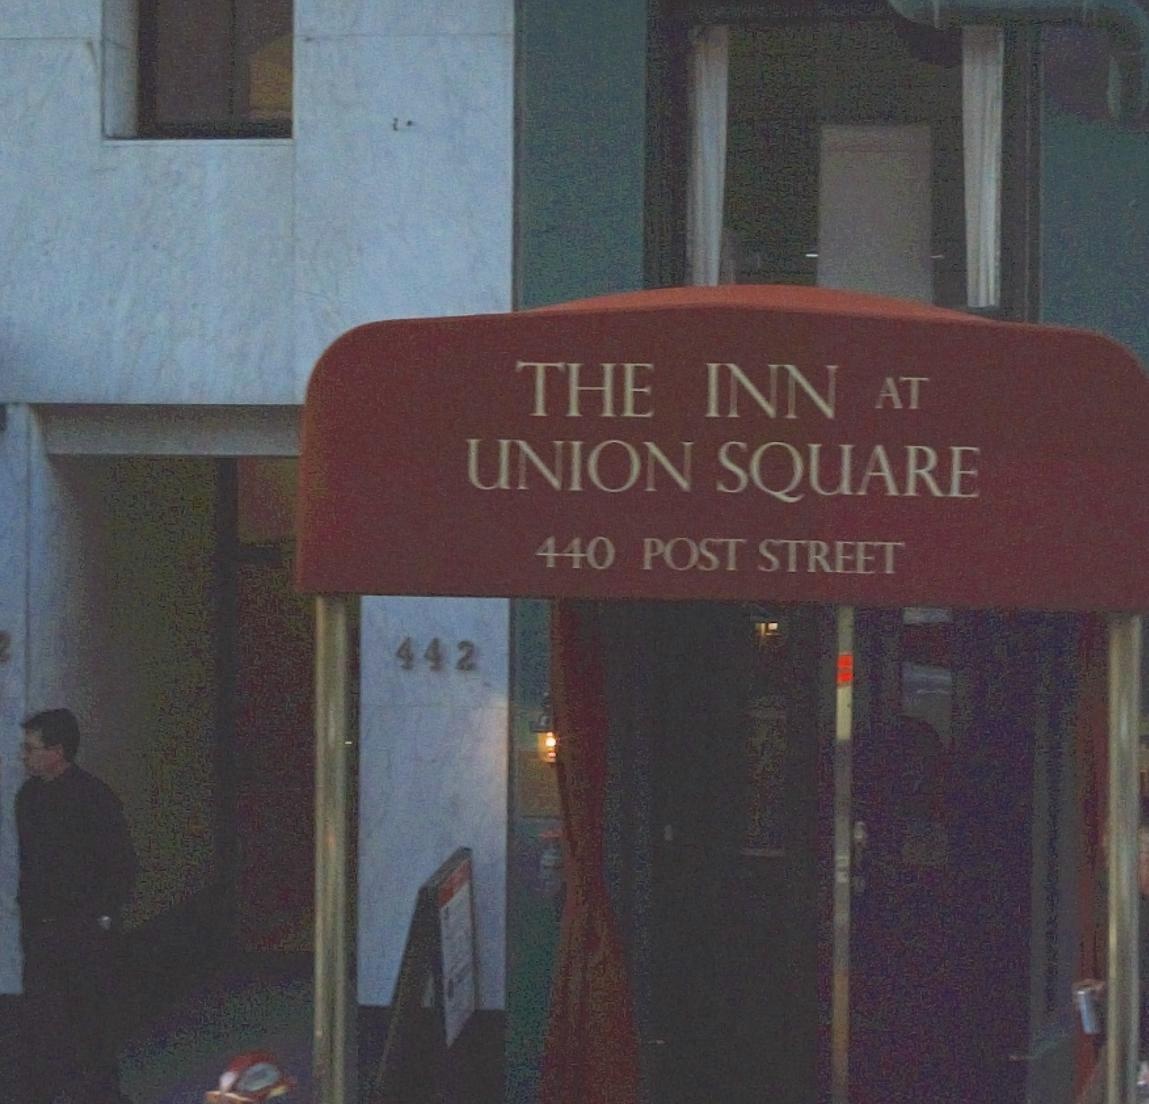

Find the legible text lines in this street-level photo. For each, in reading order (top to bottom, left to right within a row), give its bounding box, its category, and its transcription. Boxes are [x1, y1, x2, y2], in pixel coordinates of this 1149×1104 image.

[512, 356, 934, 424] BusinessName: THE INN AT
[462, 435, 984, 505] BusinessName: UNION SQUARE
[532, 533, 618, 571] StreetNumber: 440
[639, 534, 909, 578] StreetName: POST STREET
[390, 633, 479, 679] StreetNumber: 442